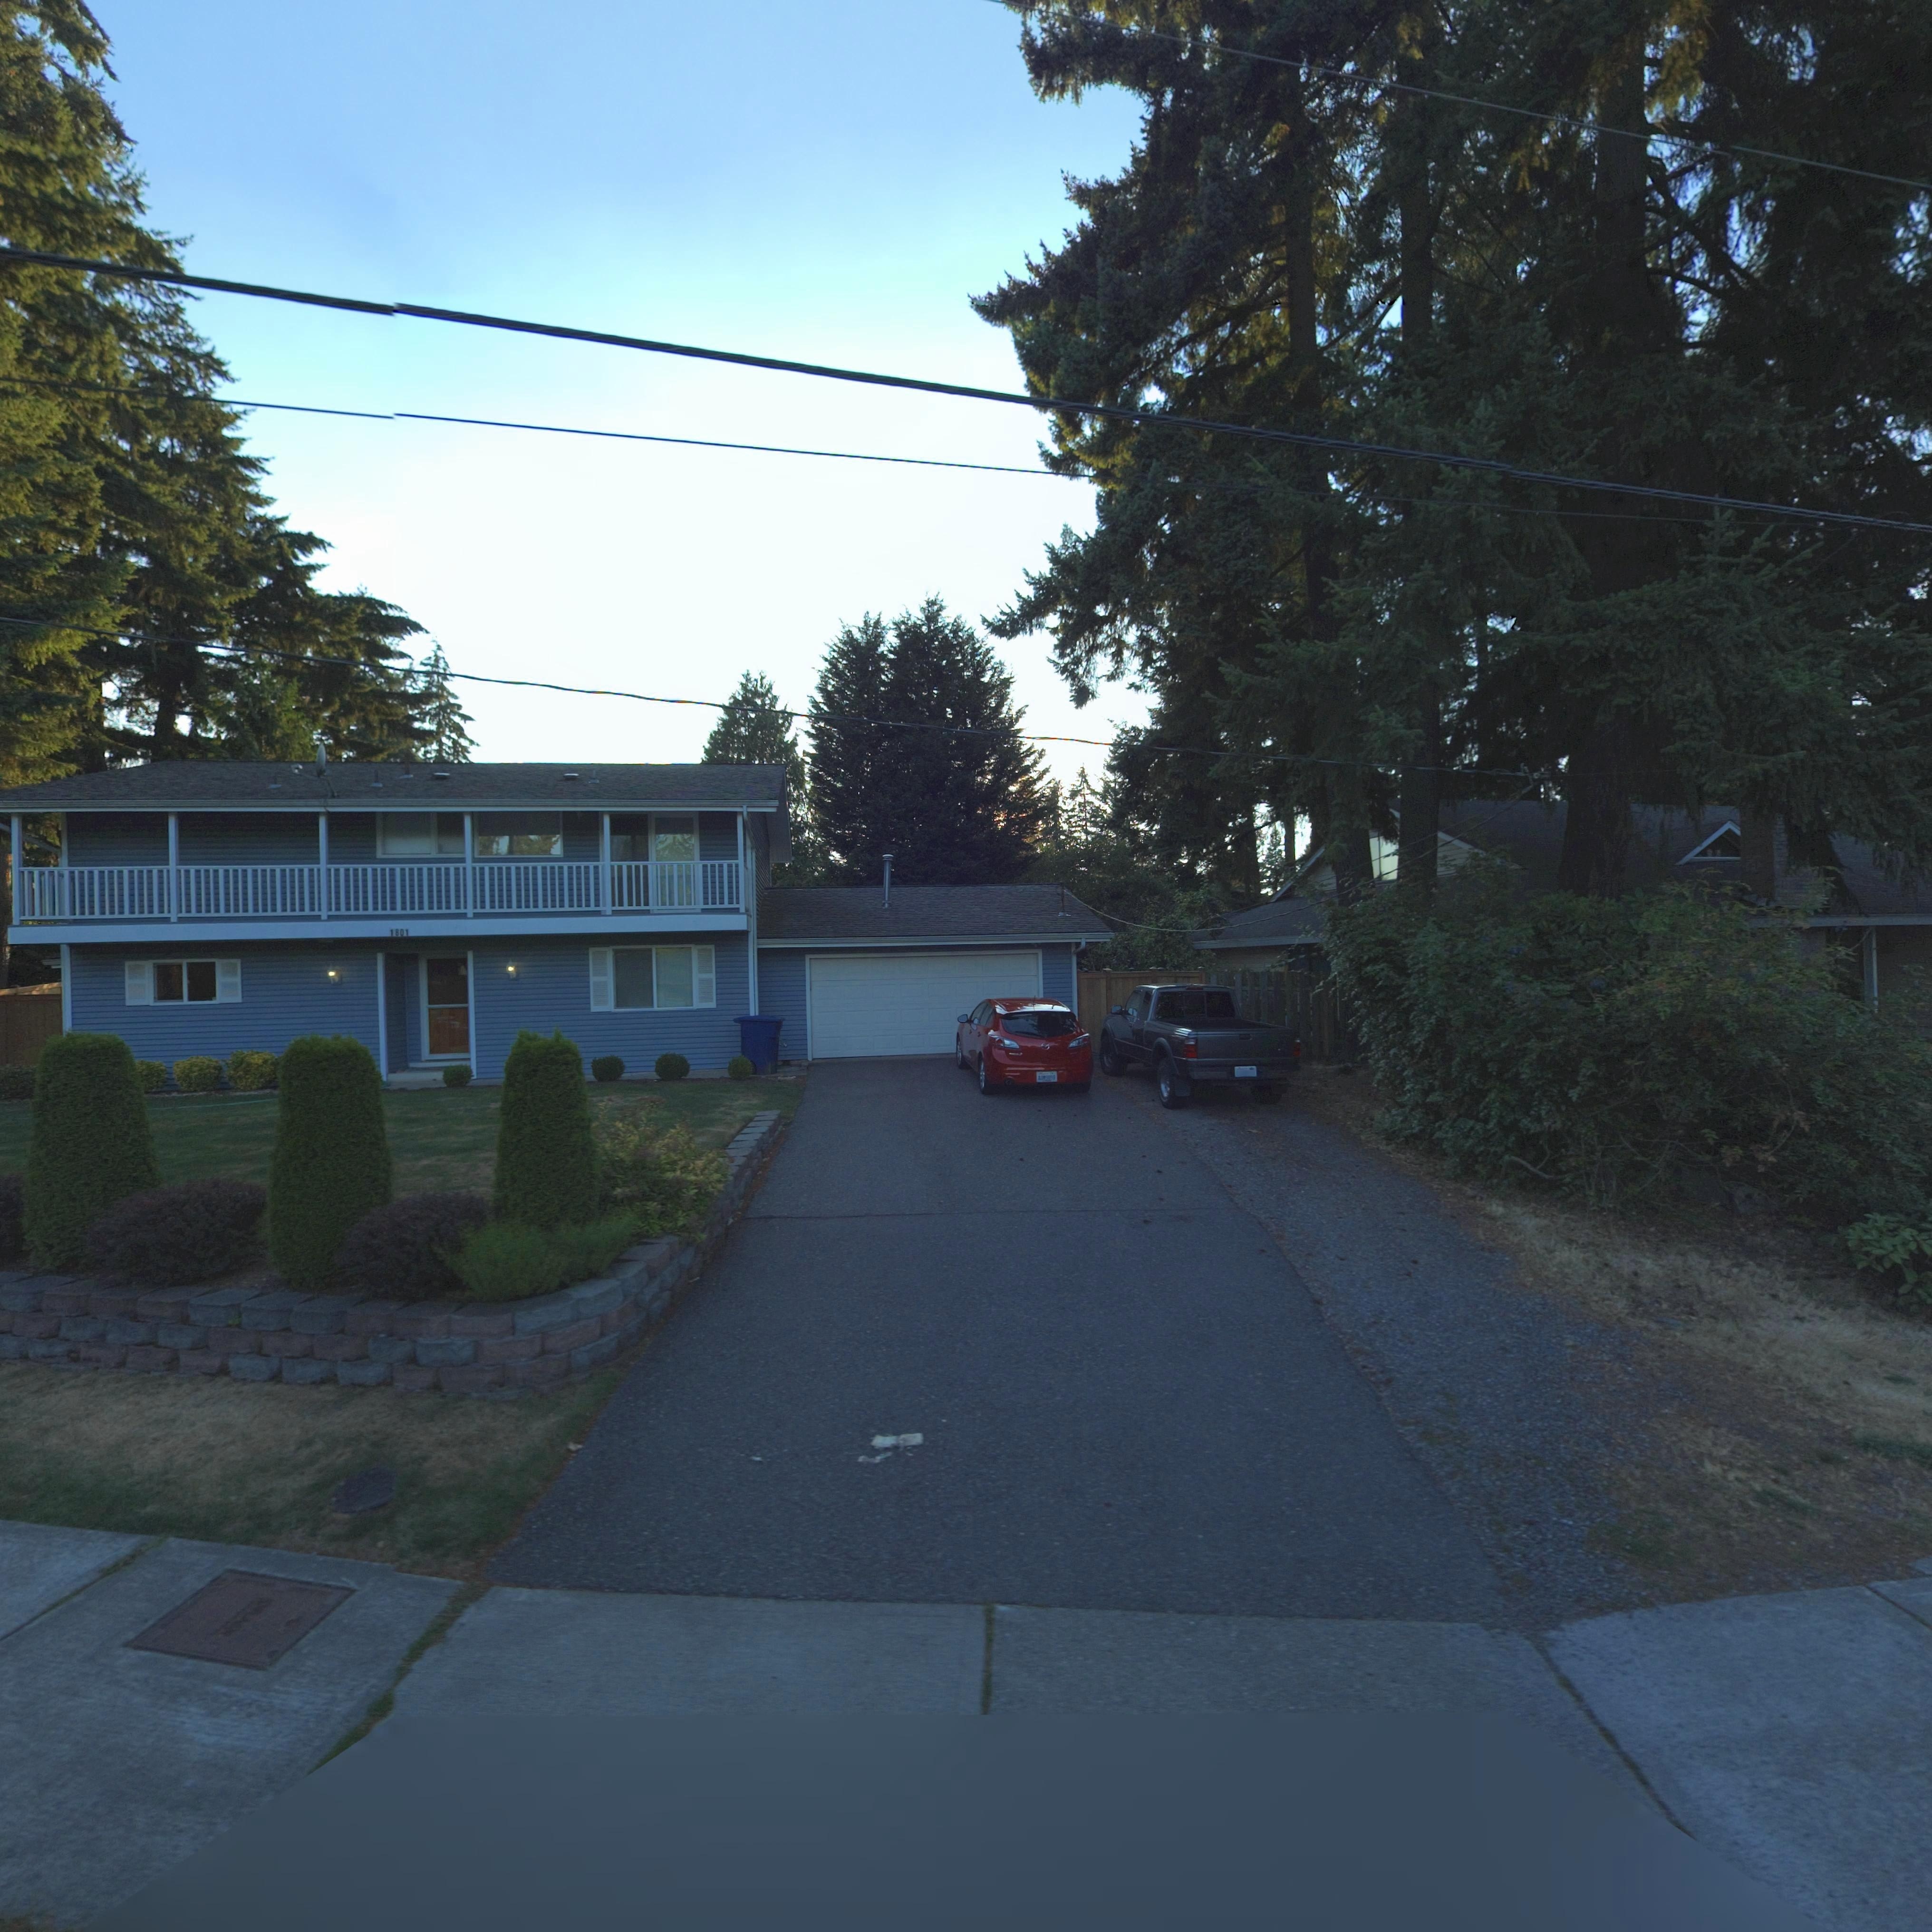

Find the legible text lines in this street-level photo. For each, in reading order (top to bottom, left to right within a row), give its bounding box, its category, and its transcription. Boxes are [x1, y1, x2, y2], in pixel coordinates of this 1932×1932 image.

[389, 928, 409, 937] StreetNumber: 1801